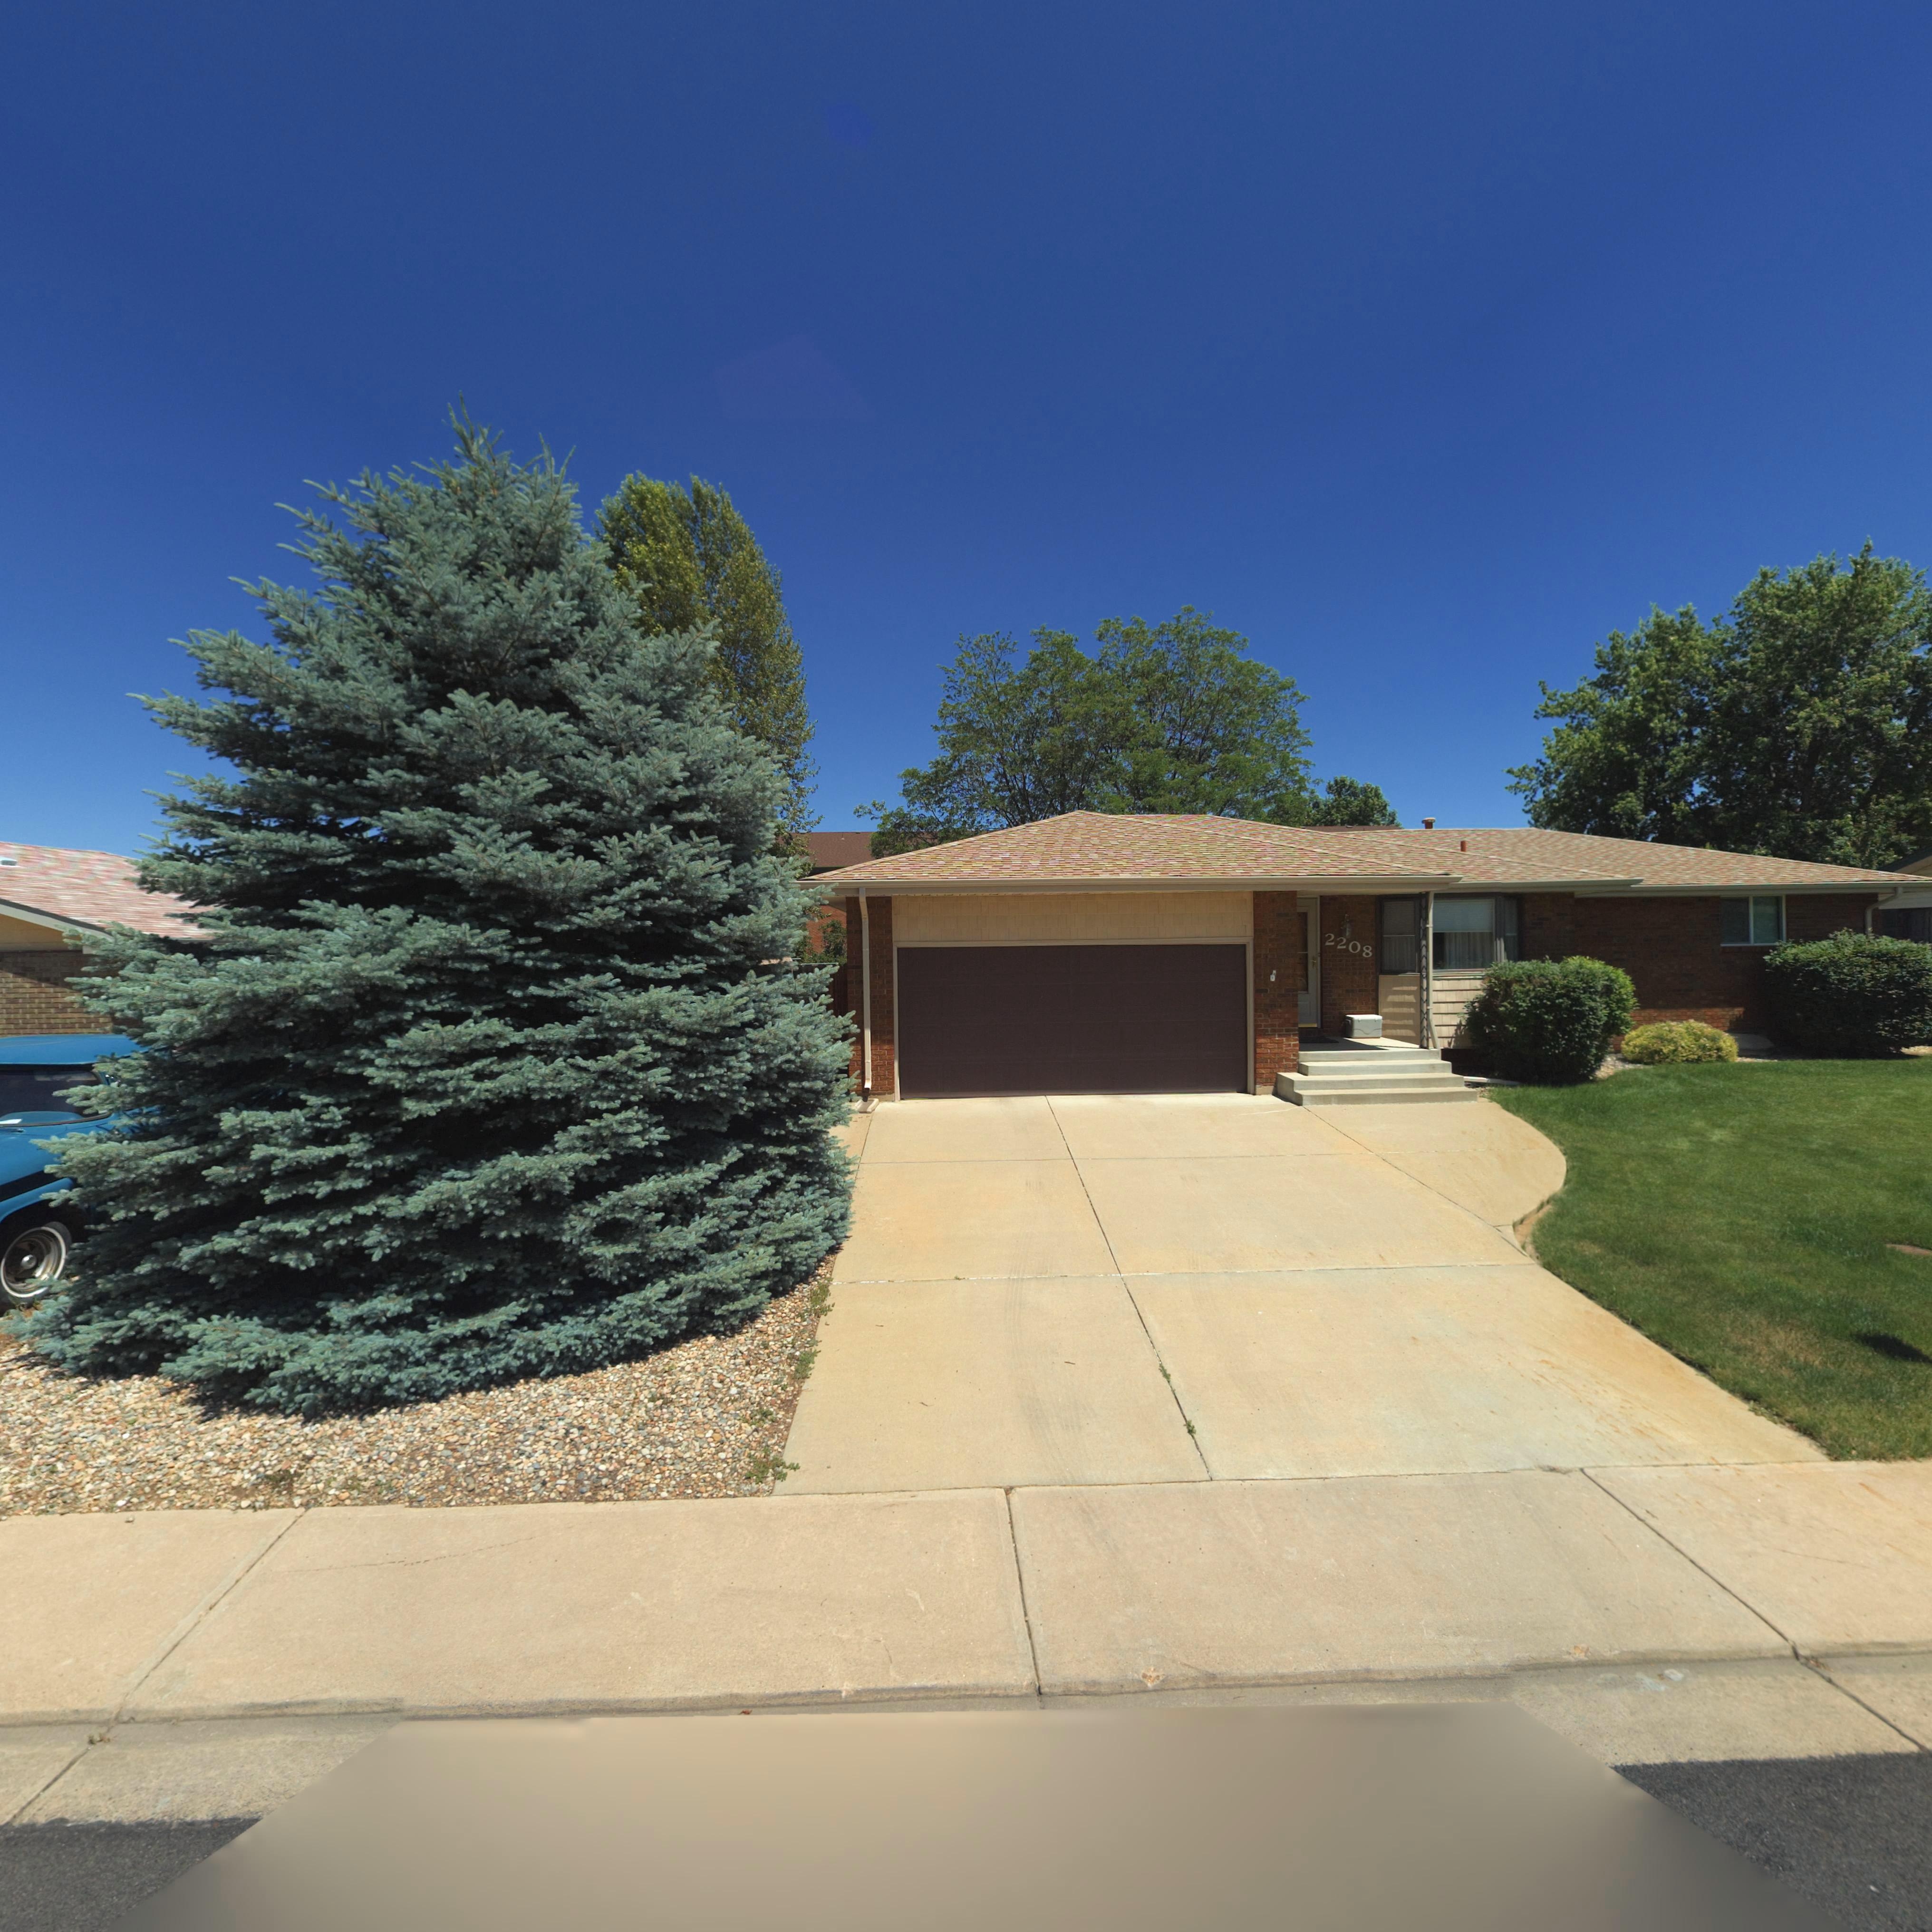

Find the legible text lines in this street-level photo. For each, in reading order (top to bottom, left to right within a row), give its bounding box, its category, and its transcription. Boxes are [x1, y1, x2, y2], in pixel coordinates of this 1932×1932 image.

[1323, 930, 1373, 959] StreetNumber: 2208